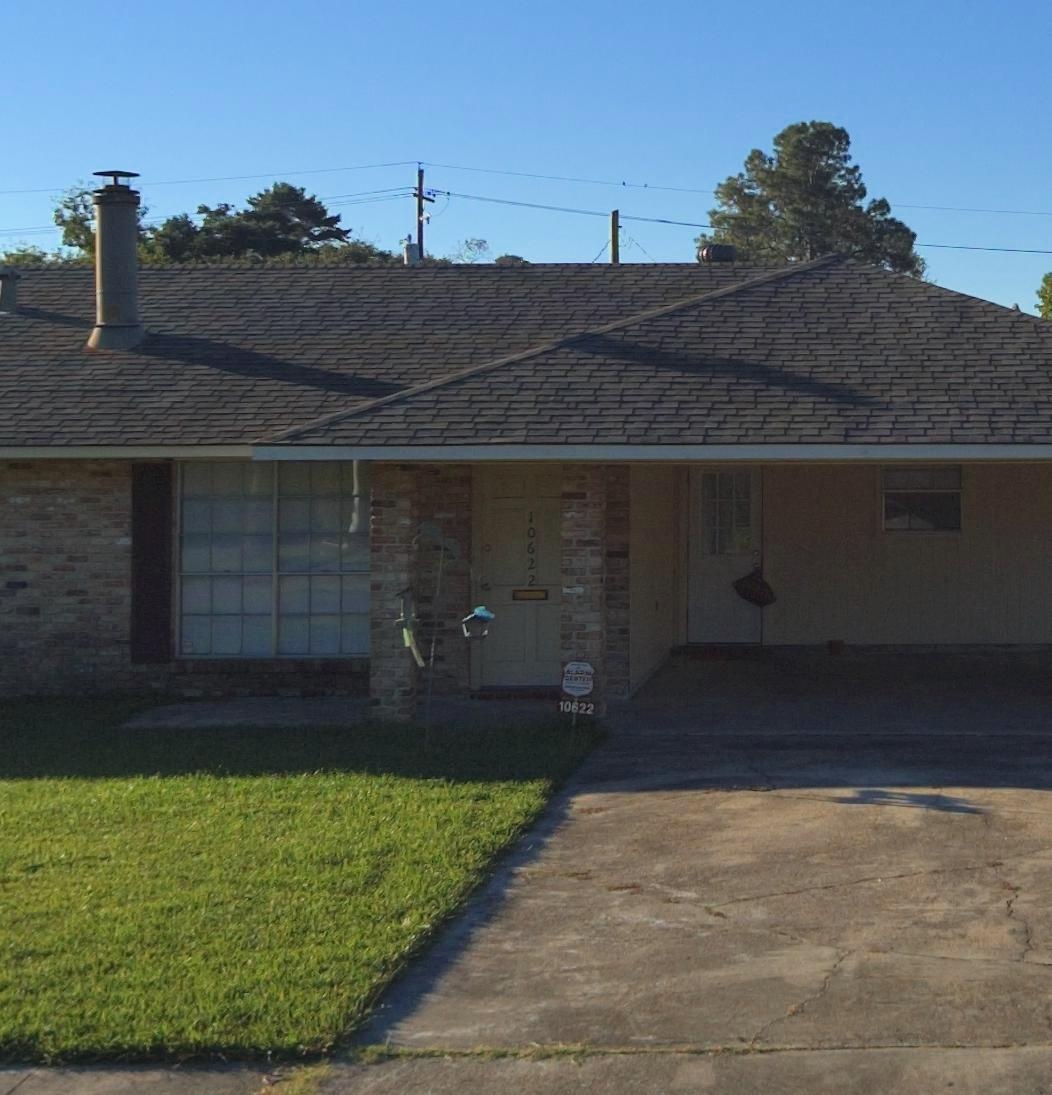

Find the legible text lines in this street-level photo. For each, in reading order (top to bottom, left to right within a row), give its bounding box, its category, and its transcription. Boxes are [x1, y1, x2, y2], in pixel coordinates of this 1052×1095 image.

[525, 508, 538, 589] StreetNumber: 10622
[556, 698, 597, 717] StreetNumber: 10622